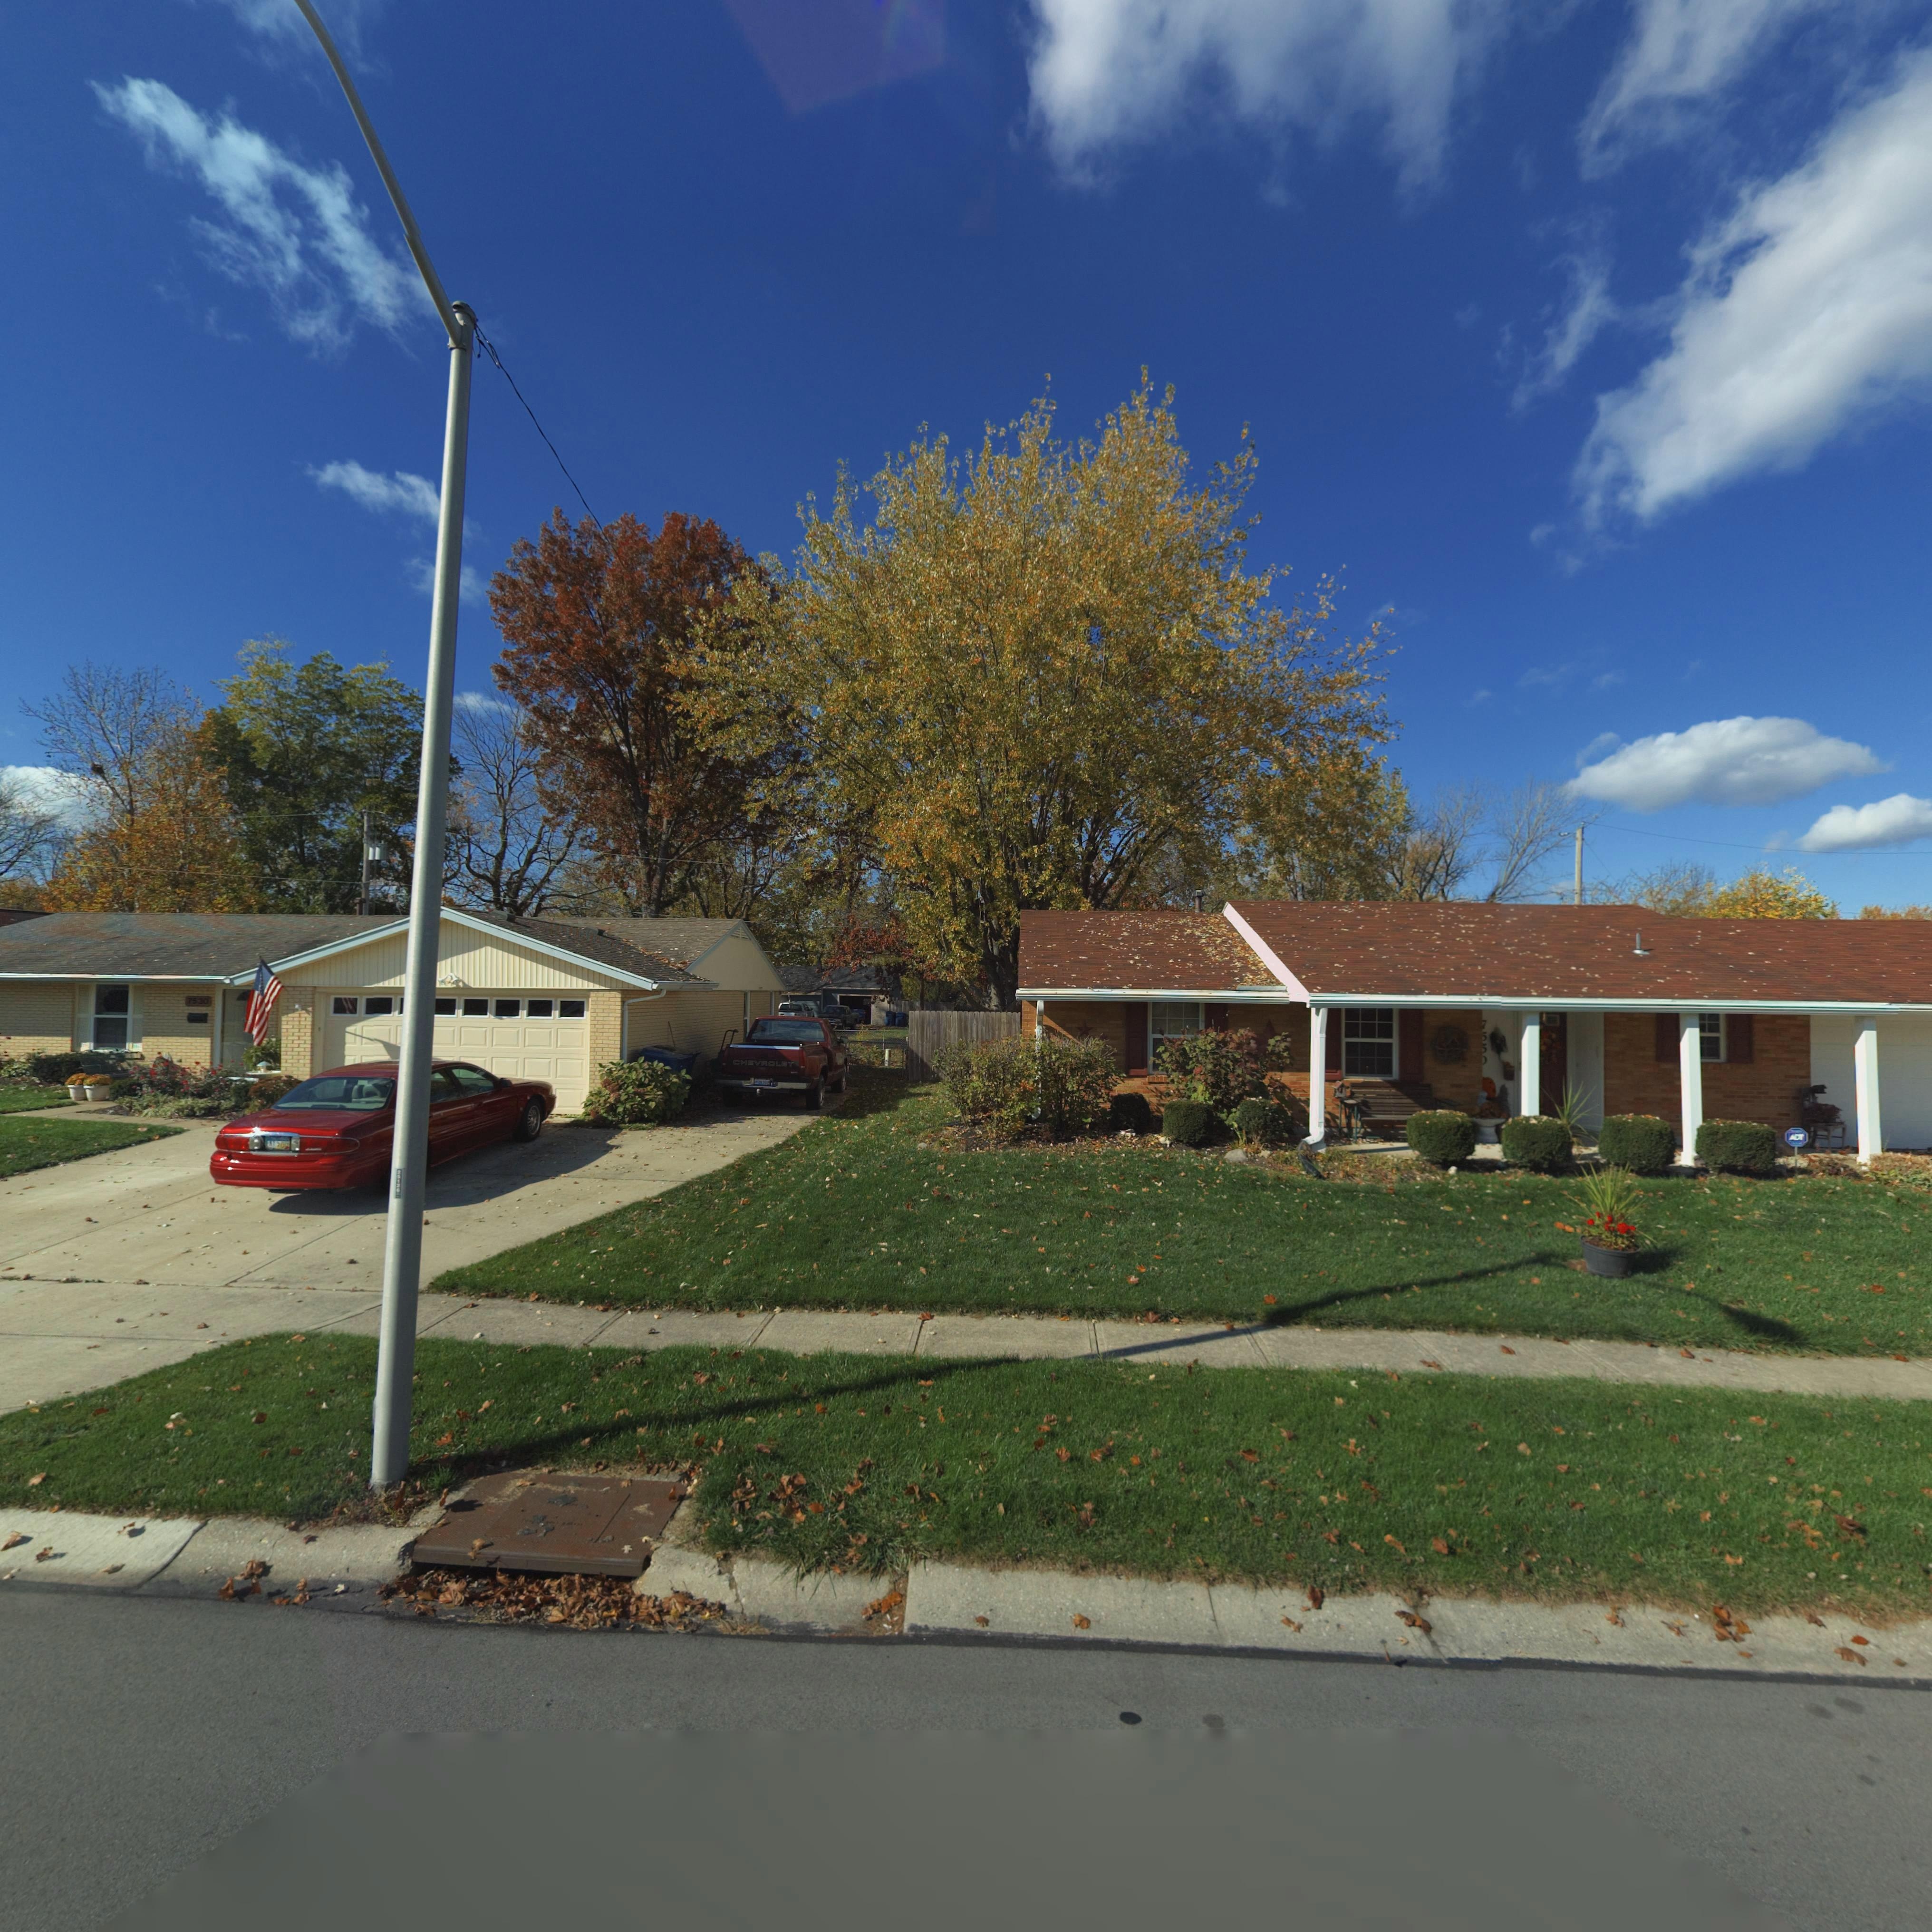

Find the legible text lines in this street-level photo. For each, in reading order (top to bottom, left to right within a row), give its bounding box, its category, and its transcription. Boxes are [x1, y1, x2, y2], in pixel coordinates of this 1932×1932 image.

[185, 996, 211, 1006] StreetNumber: 7530